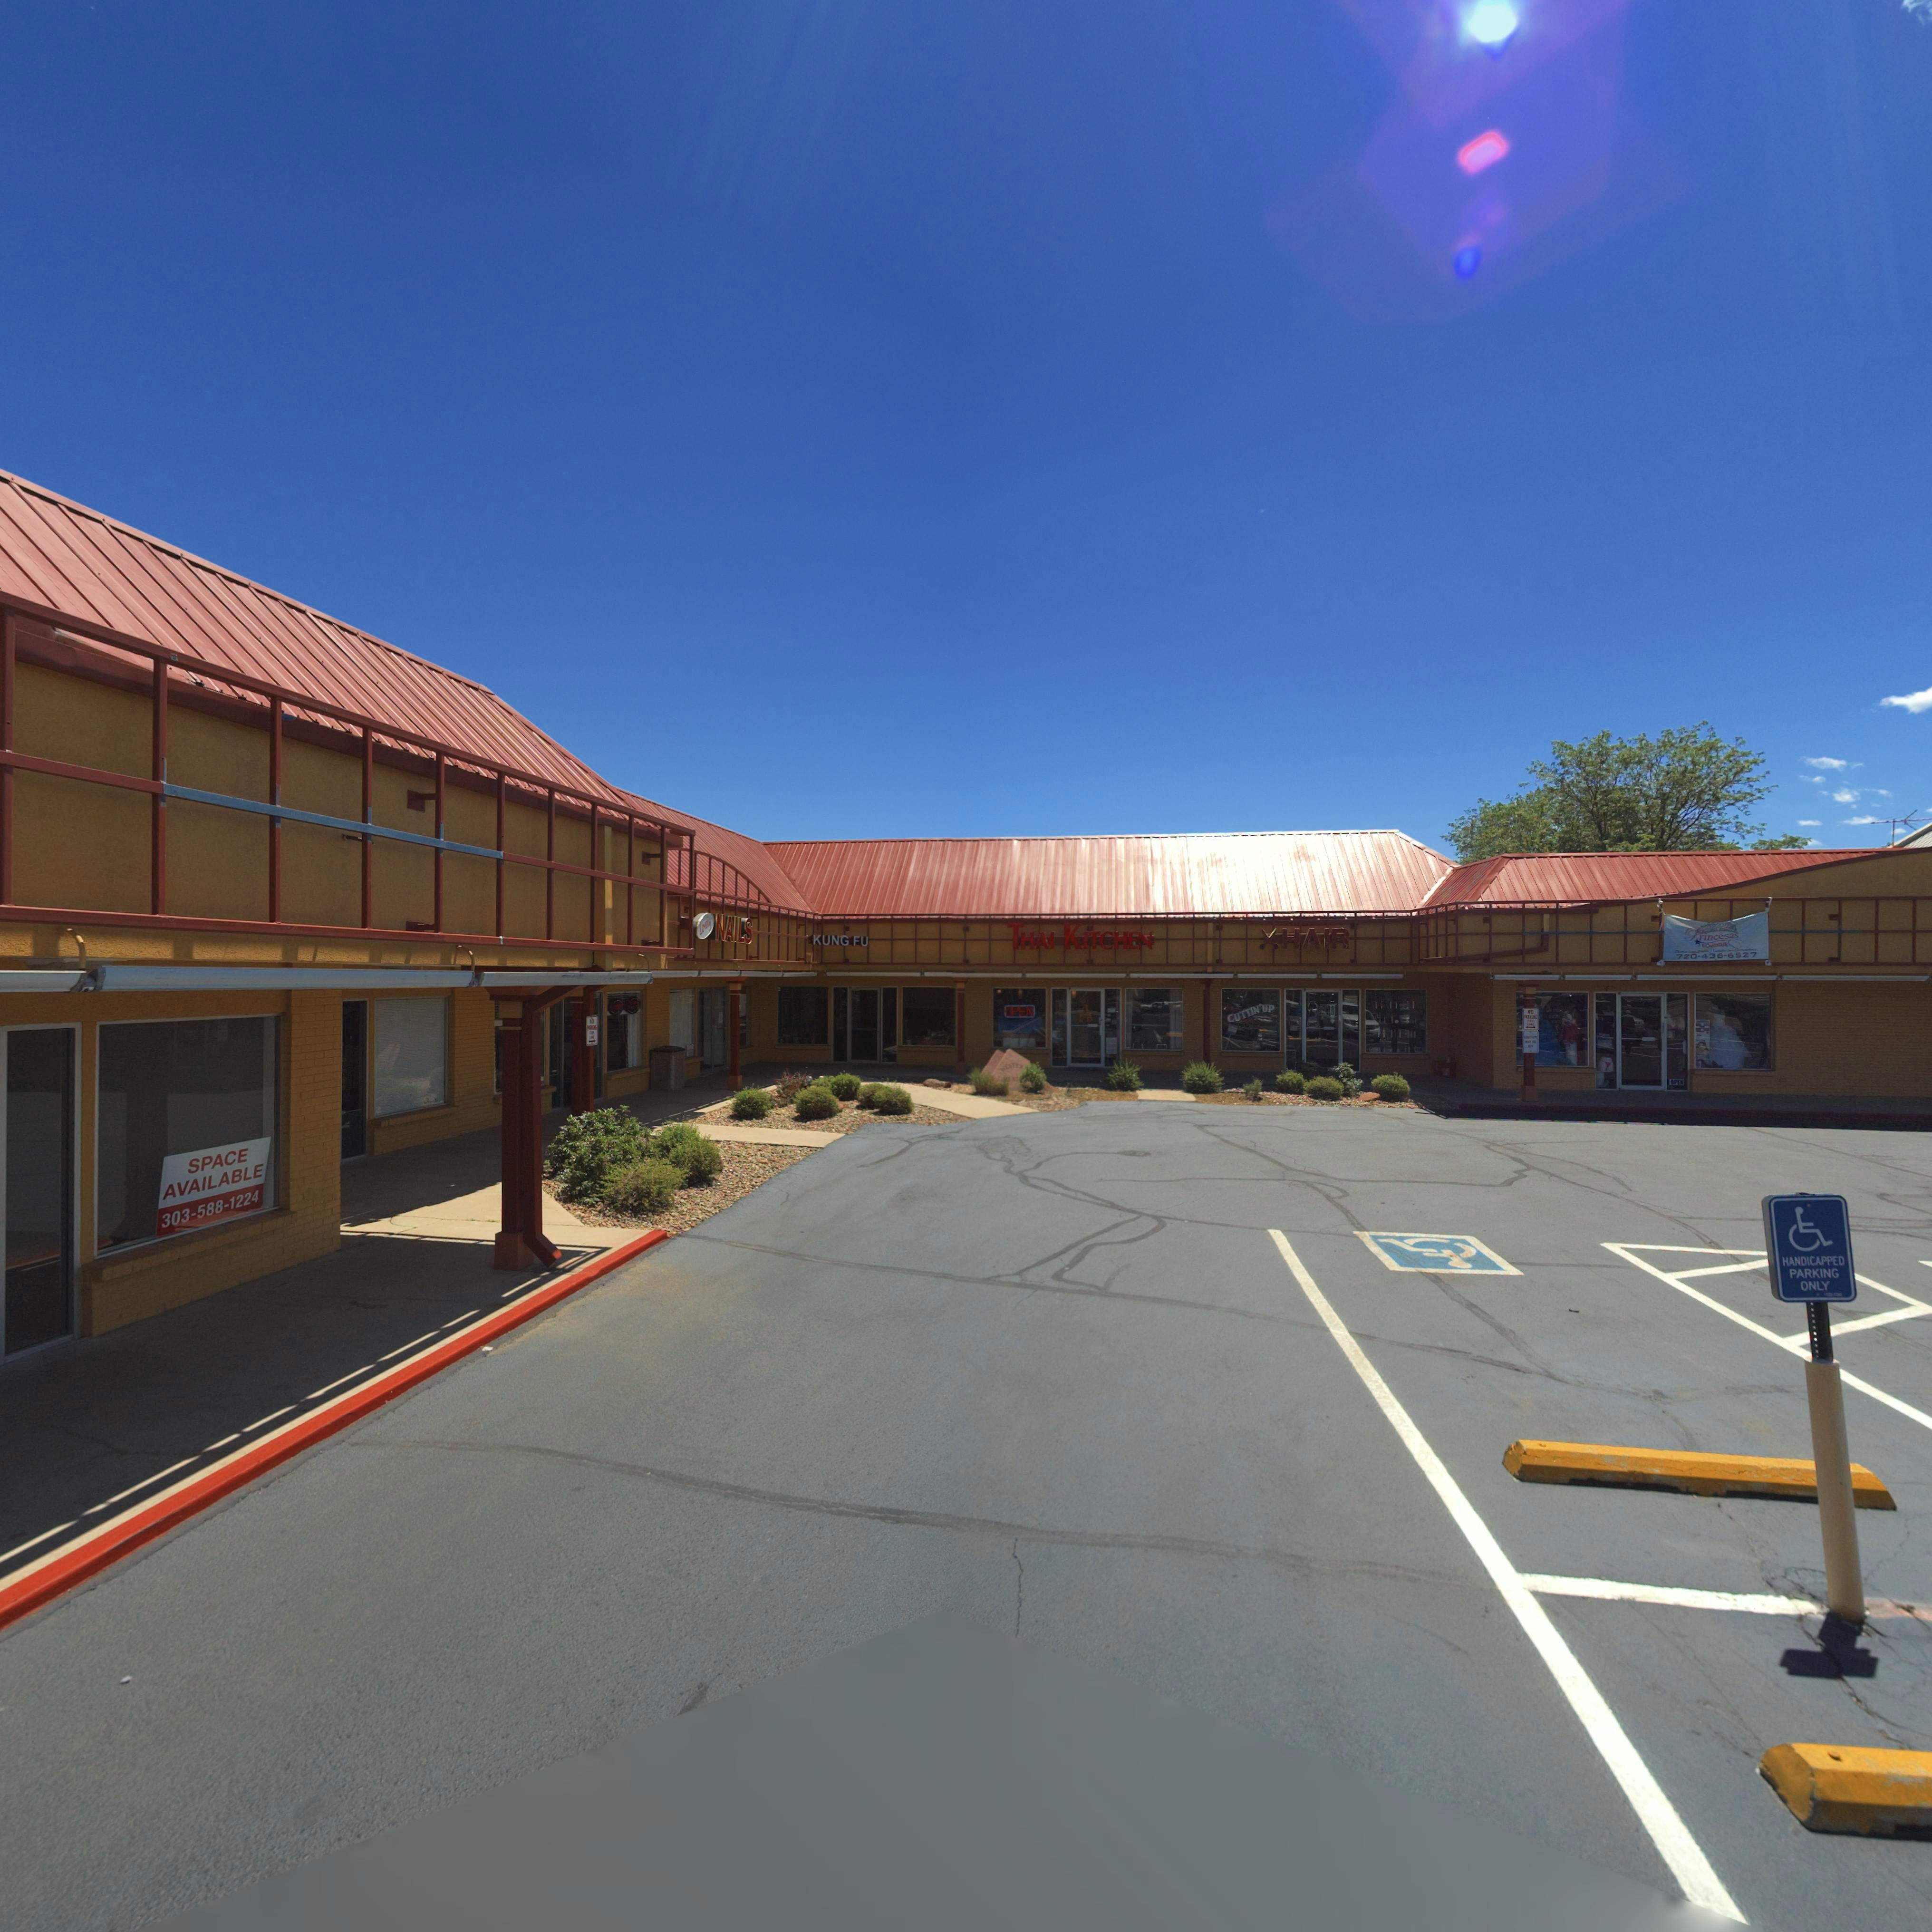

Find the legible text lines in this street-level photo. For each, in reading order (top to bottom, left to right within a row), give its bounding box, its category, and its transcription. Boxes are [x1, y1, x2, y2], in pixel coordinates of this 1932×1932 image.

[698, 917, 712, 936] BusinessName: *Lovely
[715, 913, 753, 945] StreetNumber: NAILS
[1007, 922, 1152, 950] BusinessName: THAI KITCHEN
[1257, 927, 1350, 951] BusinessName: *HAIR
[1684, 925, 1740, 941] BusinessName: Princesas
[1701, 941, 1728, 947] BusinessName: BO******
[1226, 1003, 1275, 1023] BusinessName: CUTTIIN'up